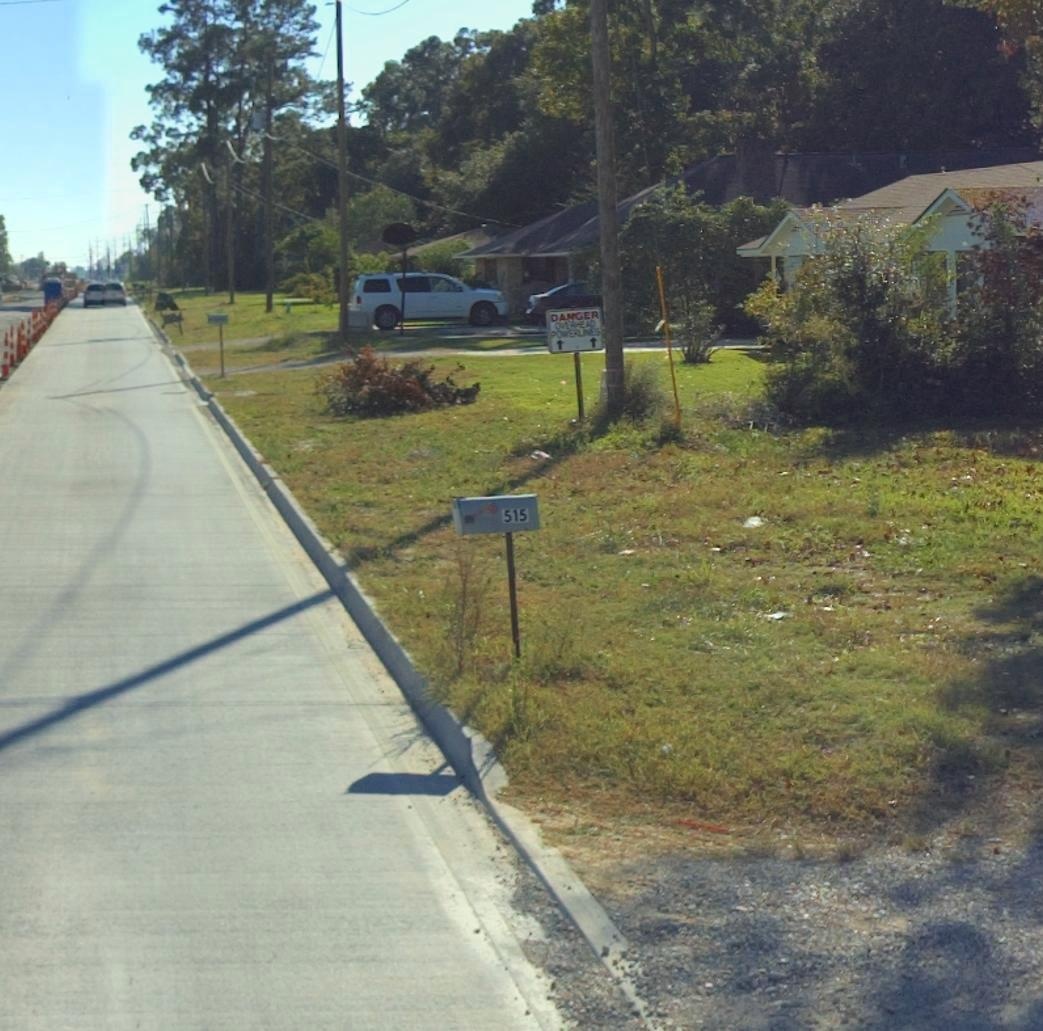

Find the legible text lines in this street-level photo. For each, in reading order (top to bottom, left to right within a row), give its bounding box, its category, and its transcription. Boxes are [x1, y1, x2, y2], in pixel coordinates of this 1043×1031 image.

[550, 311, 599, 323] None: DANGER
[550, 326, 601, 338] None: POWERLINES
[503, 509, 528, 523] StreetNumber: 515